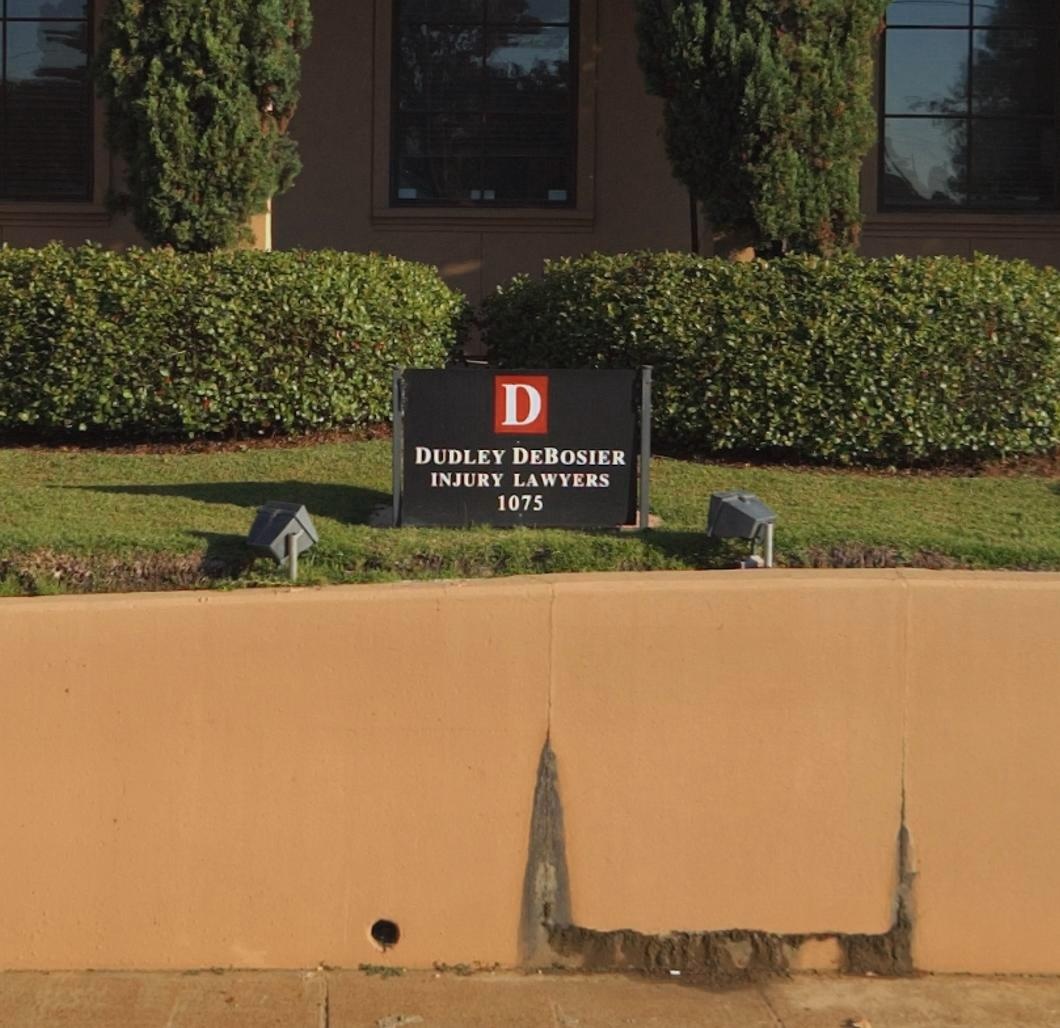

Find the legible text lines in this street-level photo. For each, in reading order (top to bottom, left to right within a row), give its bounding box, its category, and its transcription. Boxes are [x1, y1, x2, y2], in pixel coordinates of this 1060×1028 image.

[498, 380, 546, 428] None: D
[409, 442, 628, 470] BusinessName: DUDLEY DEBOSIER
[426, 466, 612, 491] BusinessName: INJURY LAWYERS
[494, 492, 547, 515] StreetNumber: 1075